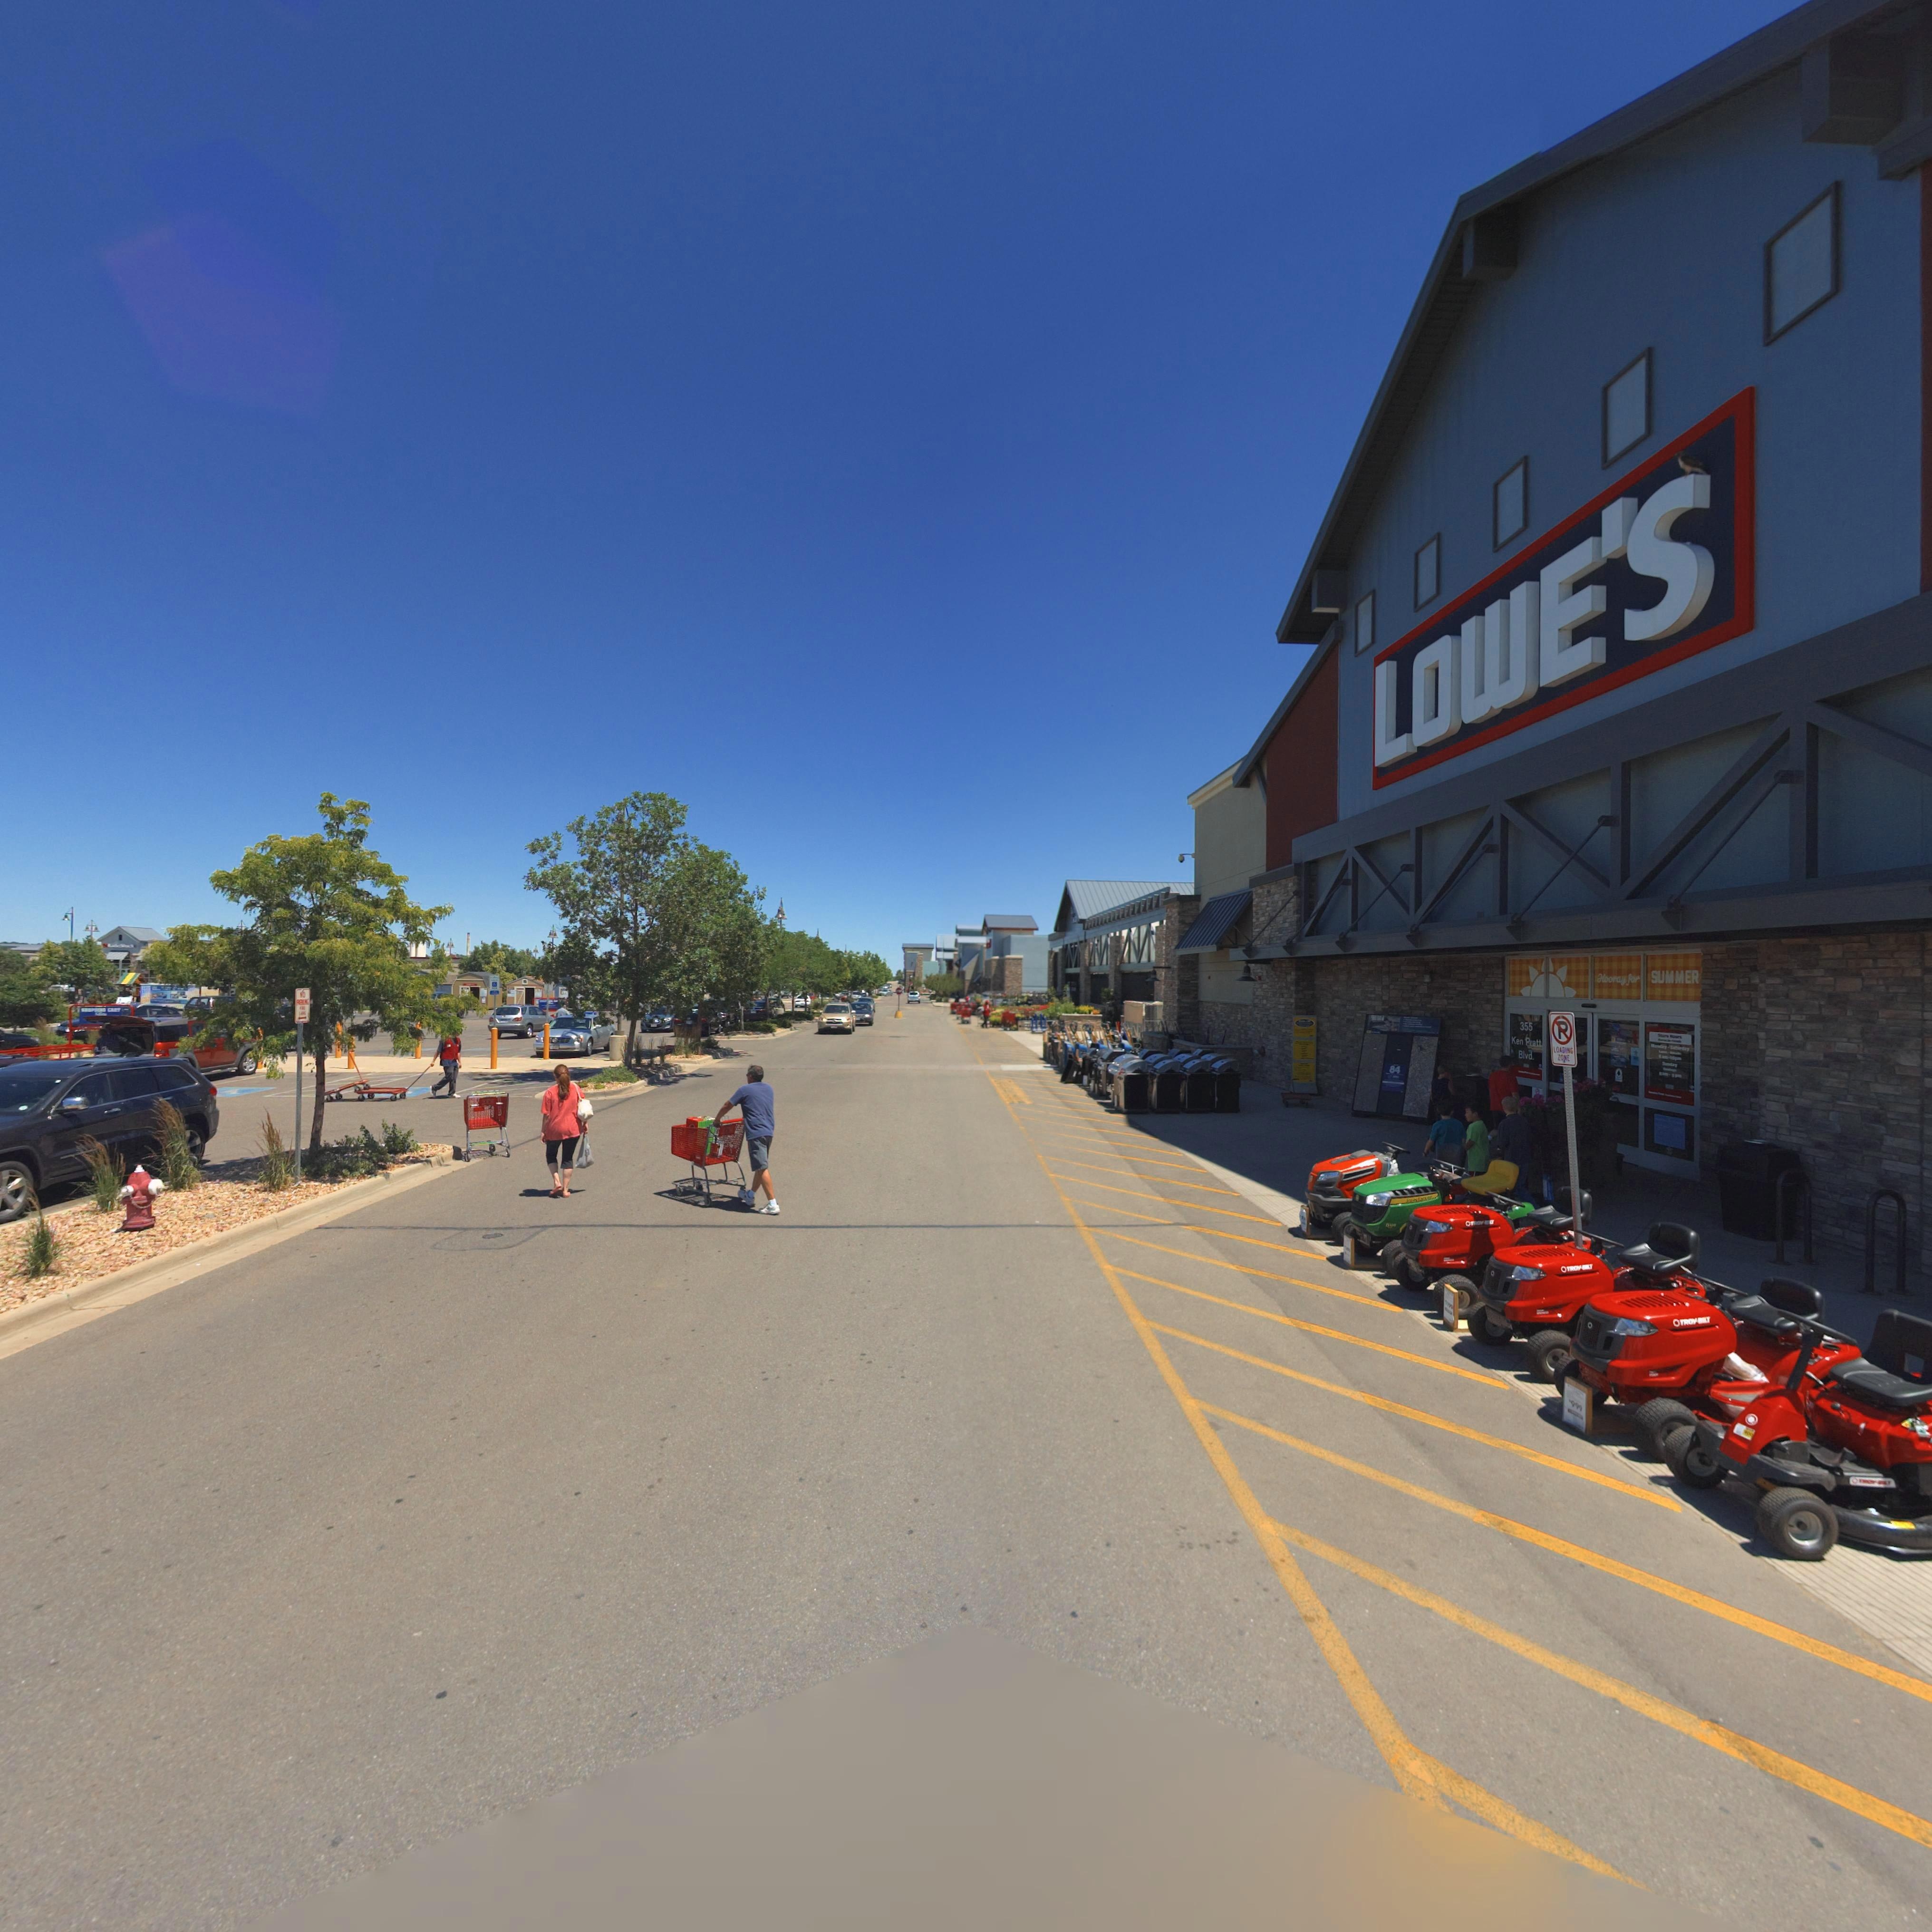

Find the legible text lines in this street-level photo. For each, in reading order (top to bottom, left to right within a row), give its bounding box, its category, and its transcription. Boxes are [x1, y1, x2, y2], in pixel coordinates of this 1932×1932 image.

[1372, 469, 1718, 772] BusinessName: LOWE'S
[1520, 1021, 1533, 1031] StreetNumber: 355
[1511, 1035, 1542, 1046] StreetName: Ken Pratt
[1518, 1049, 1534, 1060] StreetName: Blvd.